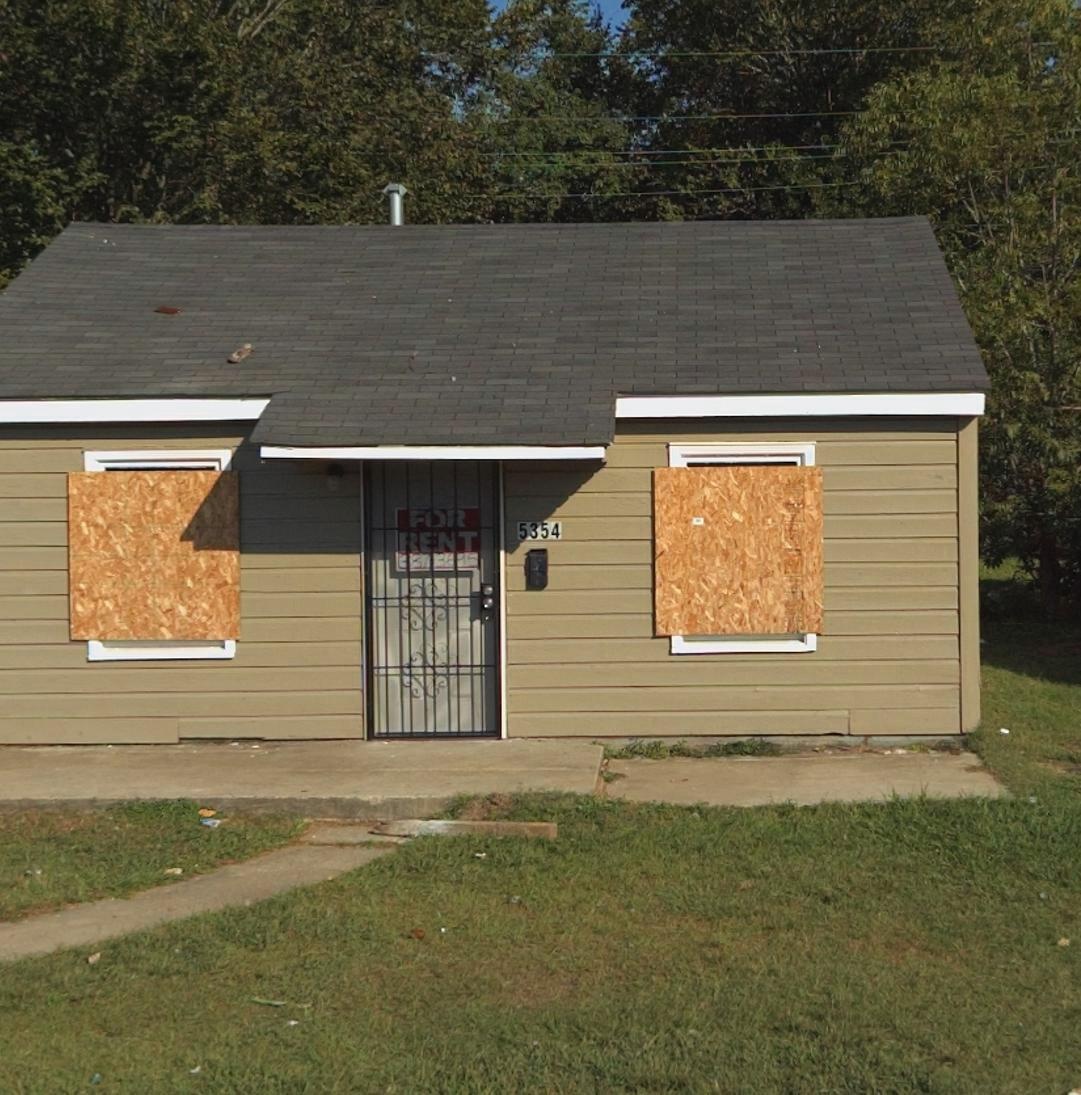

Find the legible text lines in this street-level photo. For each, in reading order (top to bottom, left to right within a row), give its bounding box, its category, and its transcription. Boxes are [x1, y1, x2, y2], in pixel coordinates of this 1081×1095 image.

[409, 509, 467, 528] None: F**
[518, 522, 561, 540] StreetNumber: 5354
[398, 531, 478, 554] None: *ENT
[398, 553, 479, 570] None: *3736*5